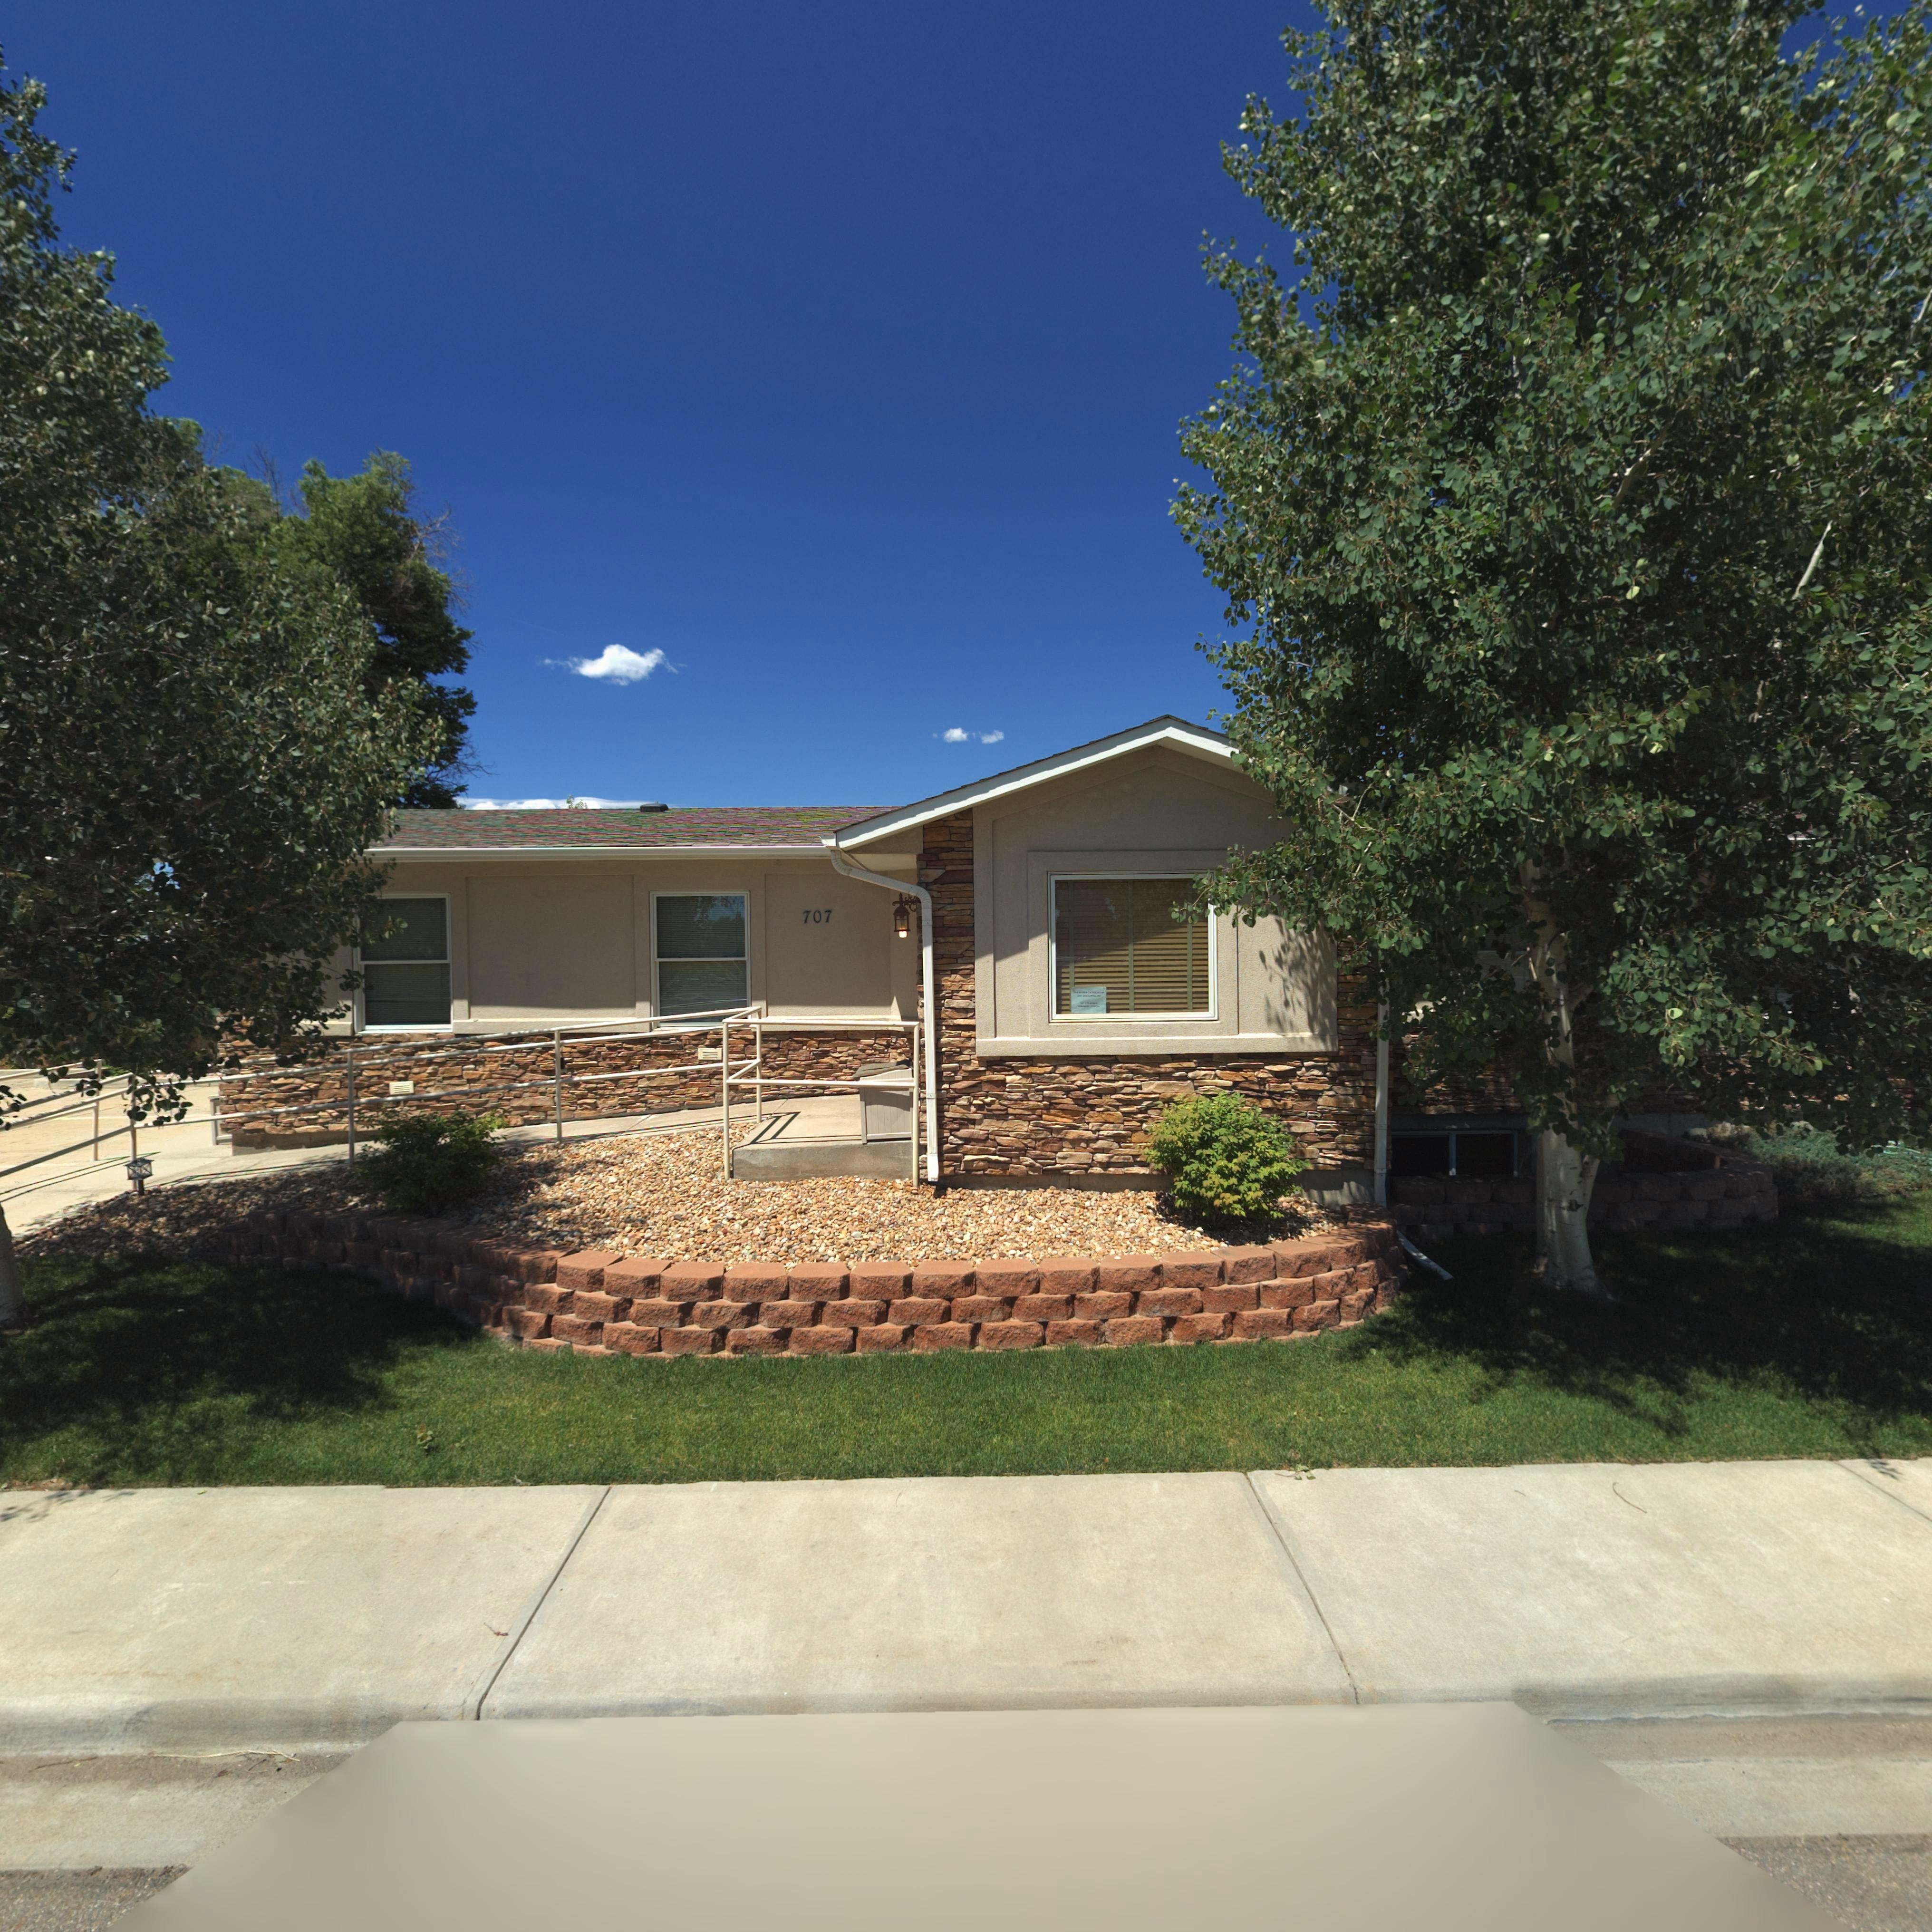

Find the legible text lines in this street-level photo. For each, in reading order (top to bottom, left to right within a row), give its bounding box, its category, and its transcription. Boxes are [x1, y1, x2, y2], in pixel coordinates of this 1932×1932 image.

[802, 908, 833, 924] StreetNumber: 707